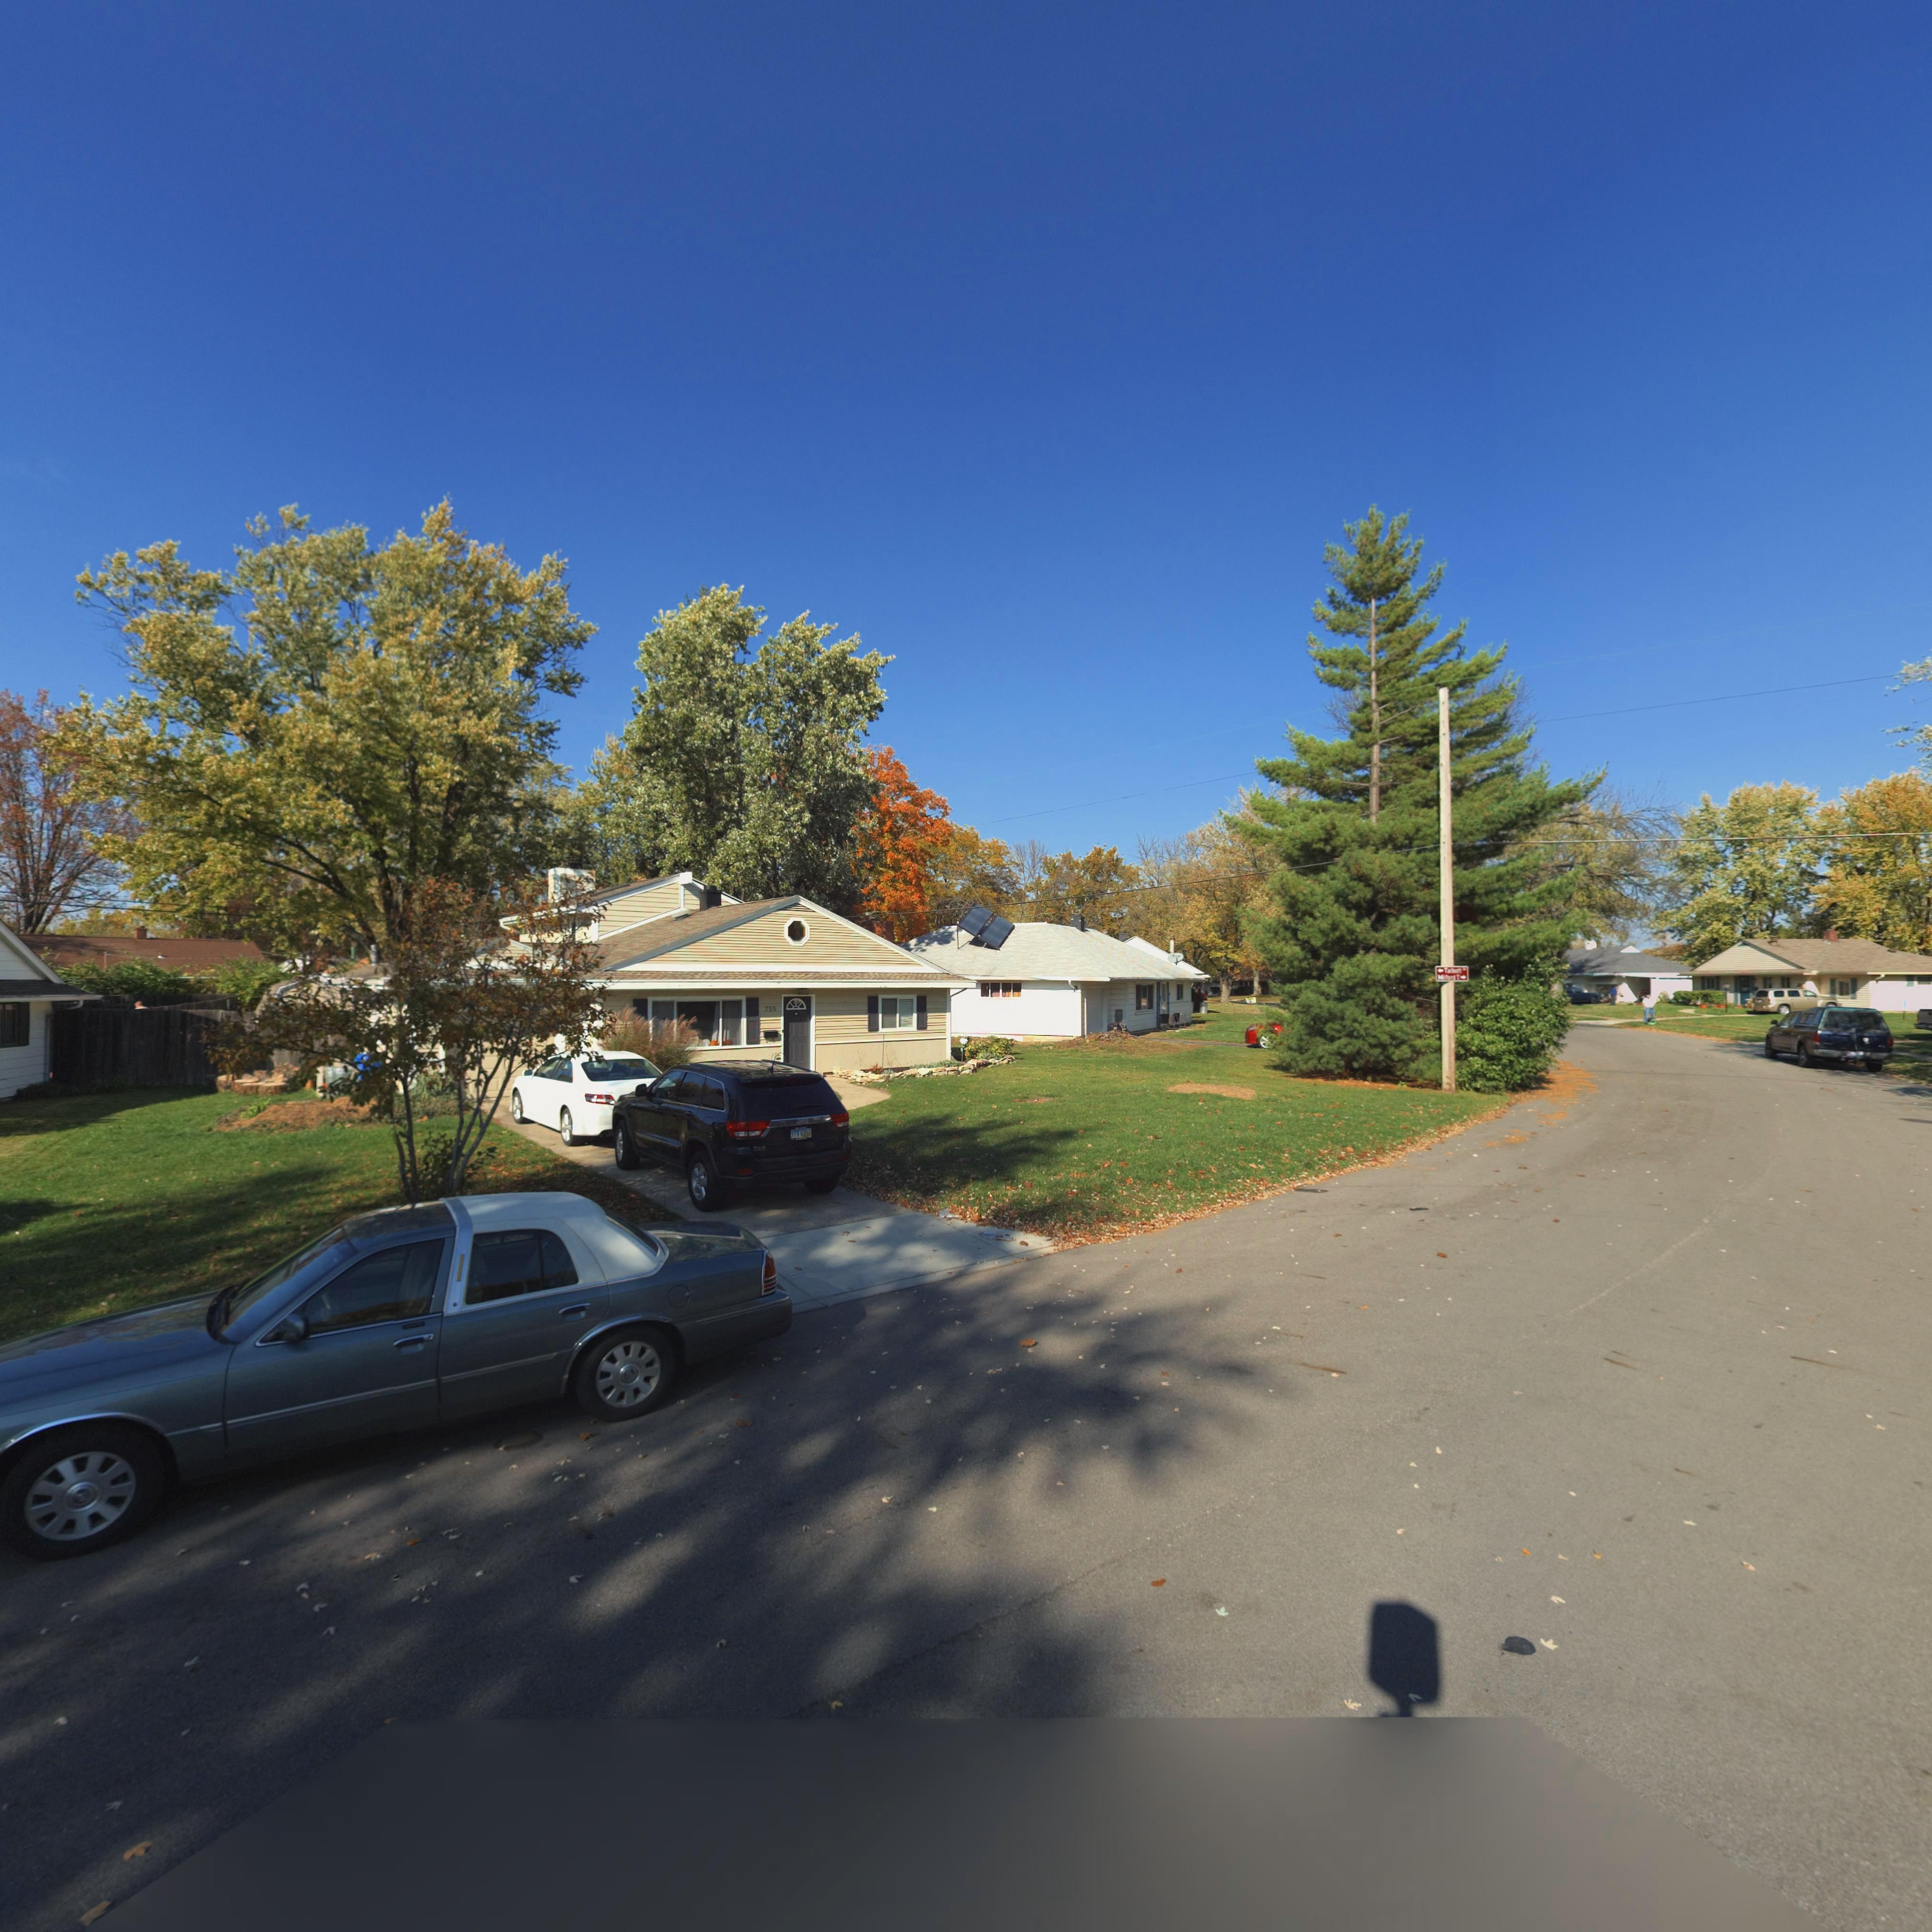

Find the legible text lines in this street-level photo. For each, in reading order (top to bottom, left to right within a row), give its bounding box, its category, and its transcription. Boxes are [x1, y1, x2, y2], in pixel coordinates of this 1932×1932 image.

[764, 1005, 777, 1013] StreetNumber: 755